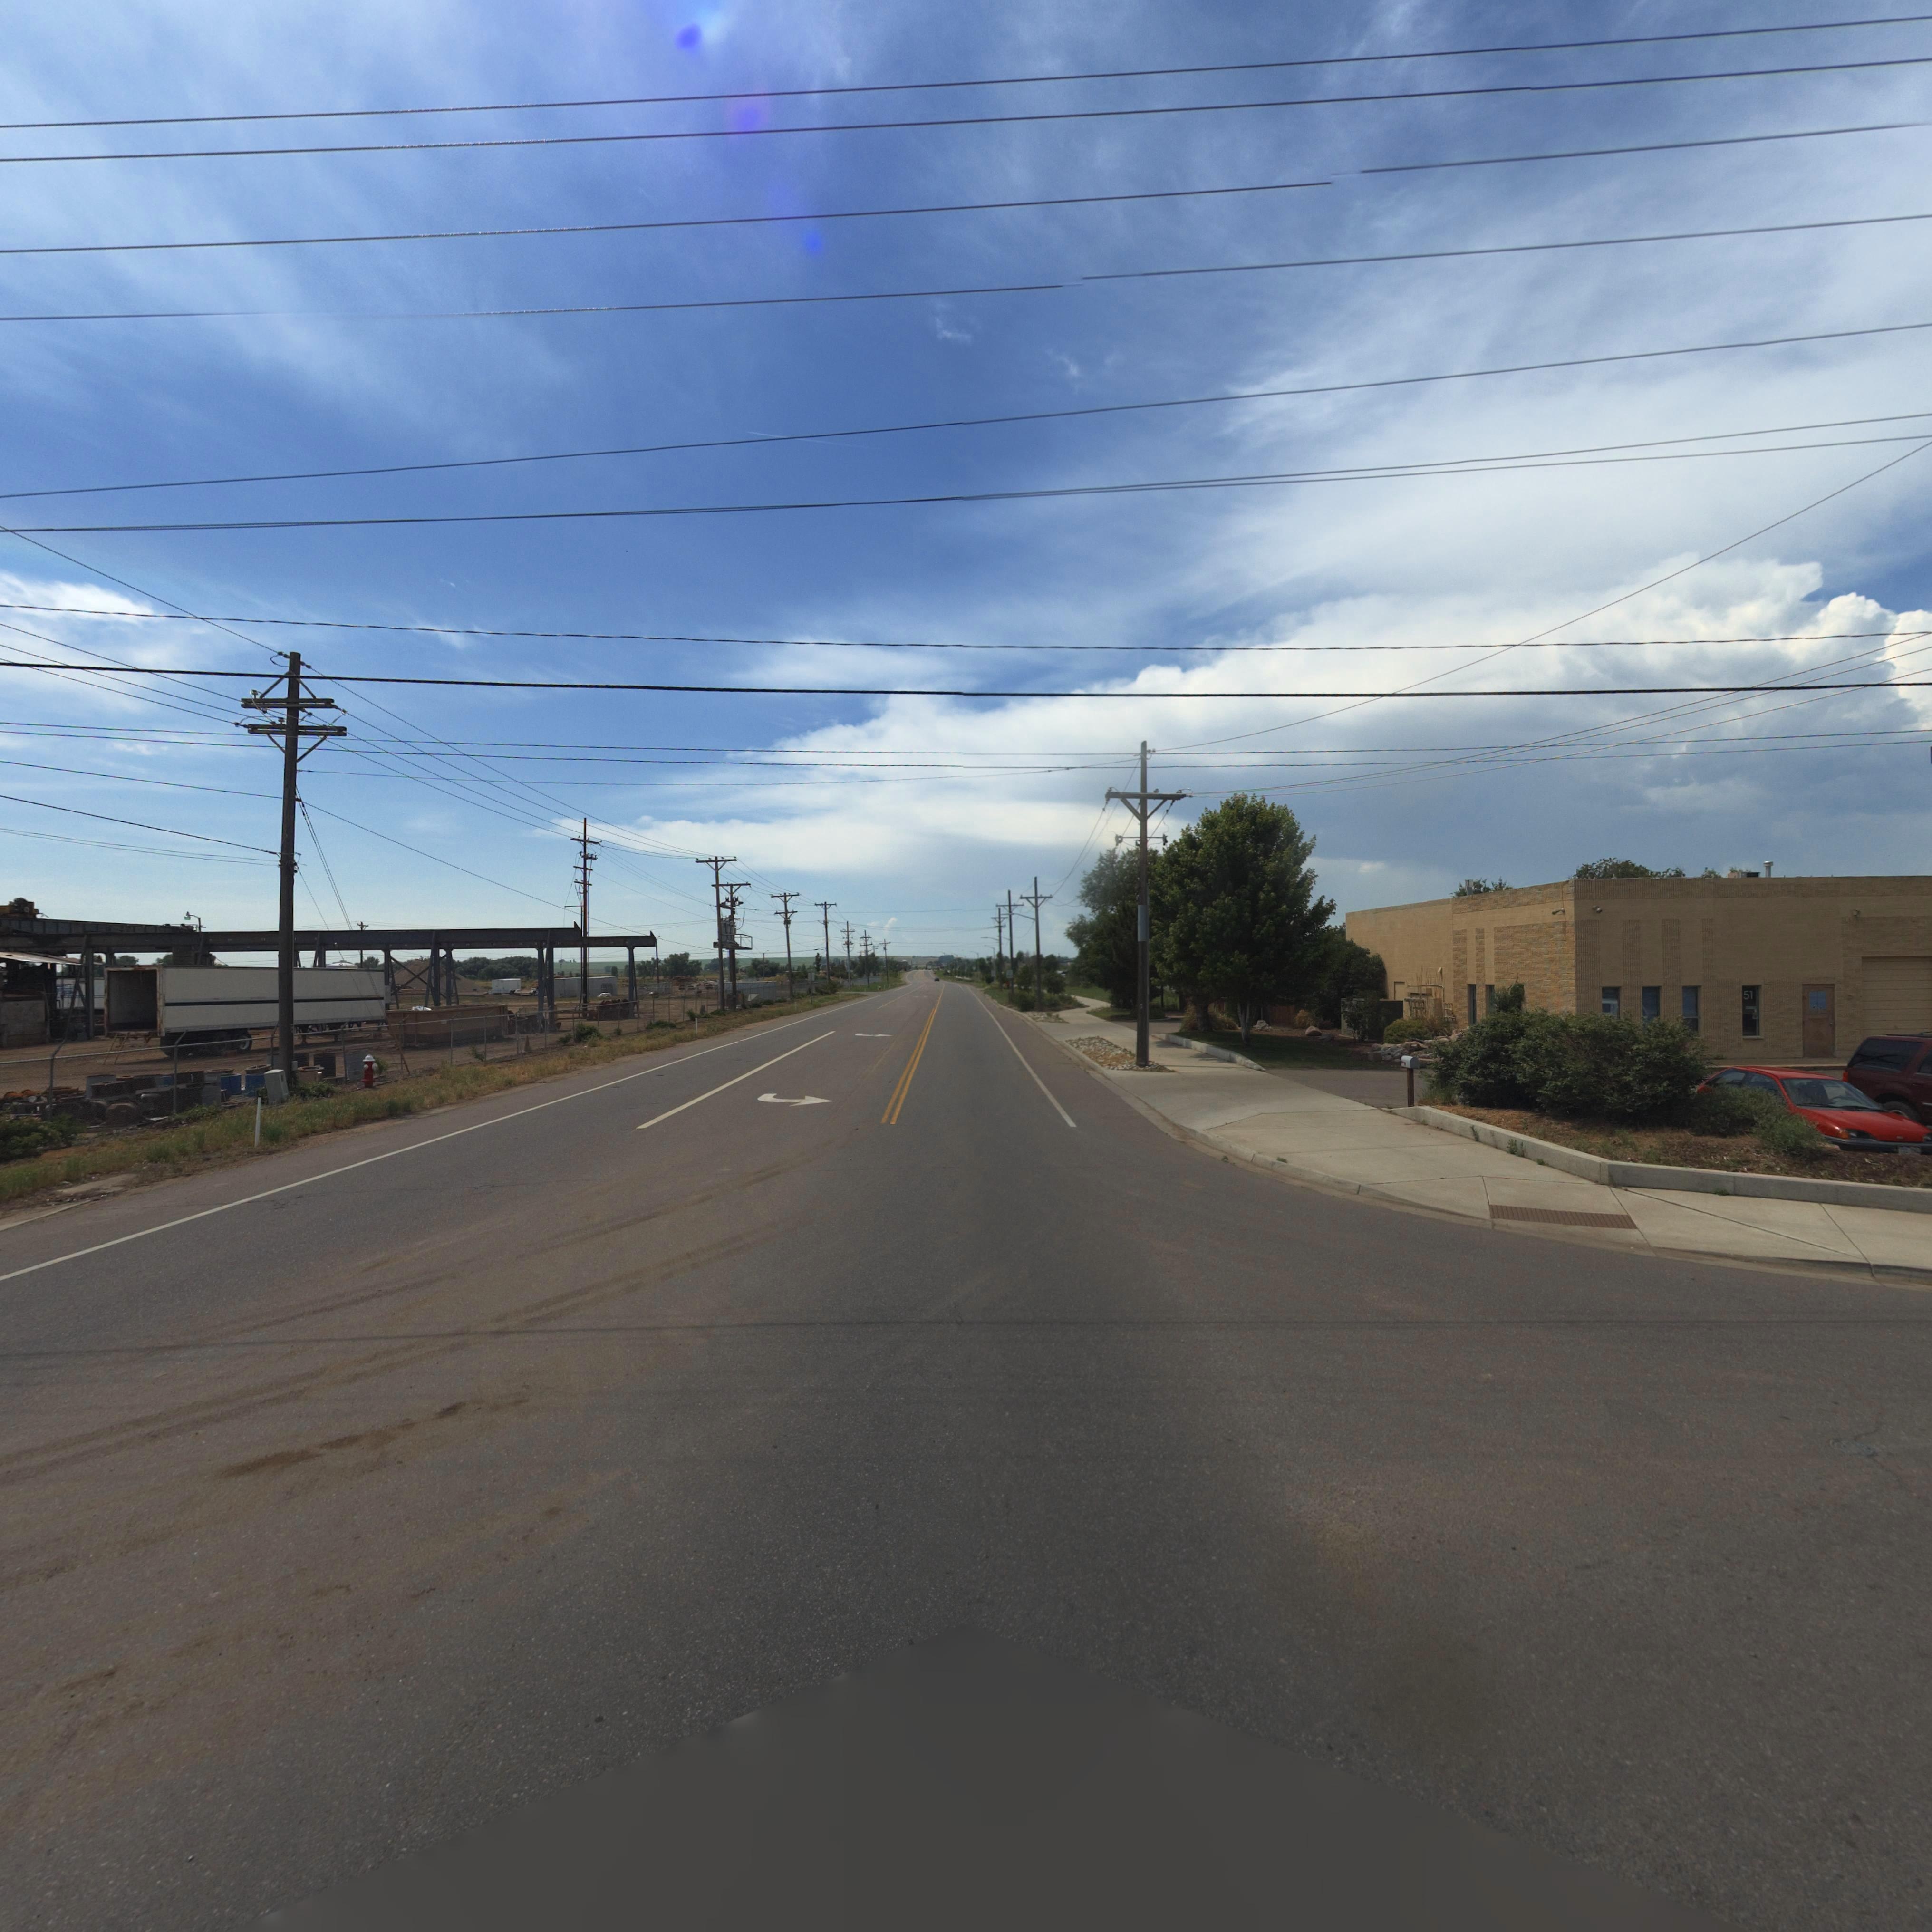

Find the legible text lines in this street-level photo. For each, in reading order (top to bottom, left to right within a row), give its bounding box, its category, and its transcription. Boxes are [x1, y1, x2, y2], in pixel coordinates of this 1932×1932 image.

[1743, 990, 1753, 1000] StreetNumber: 51